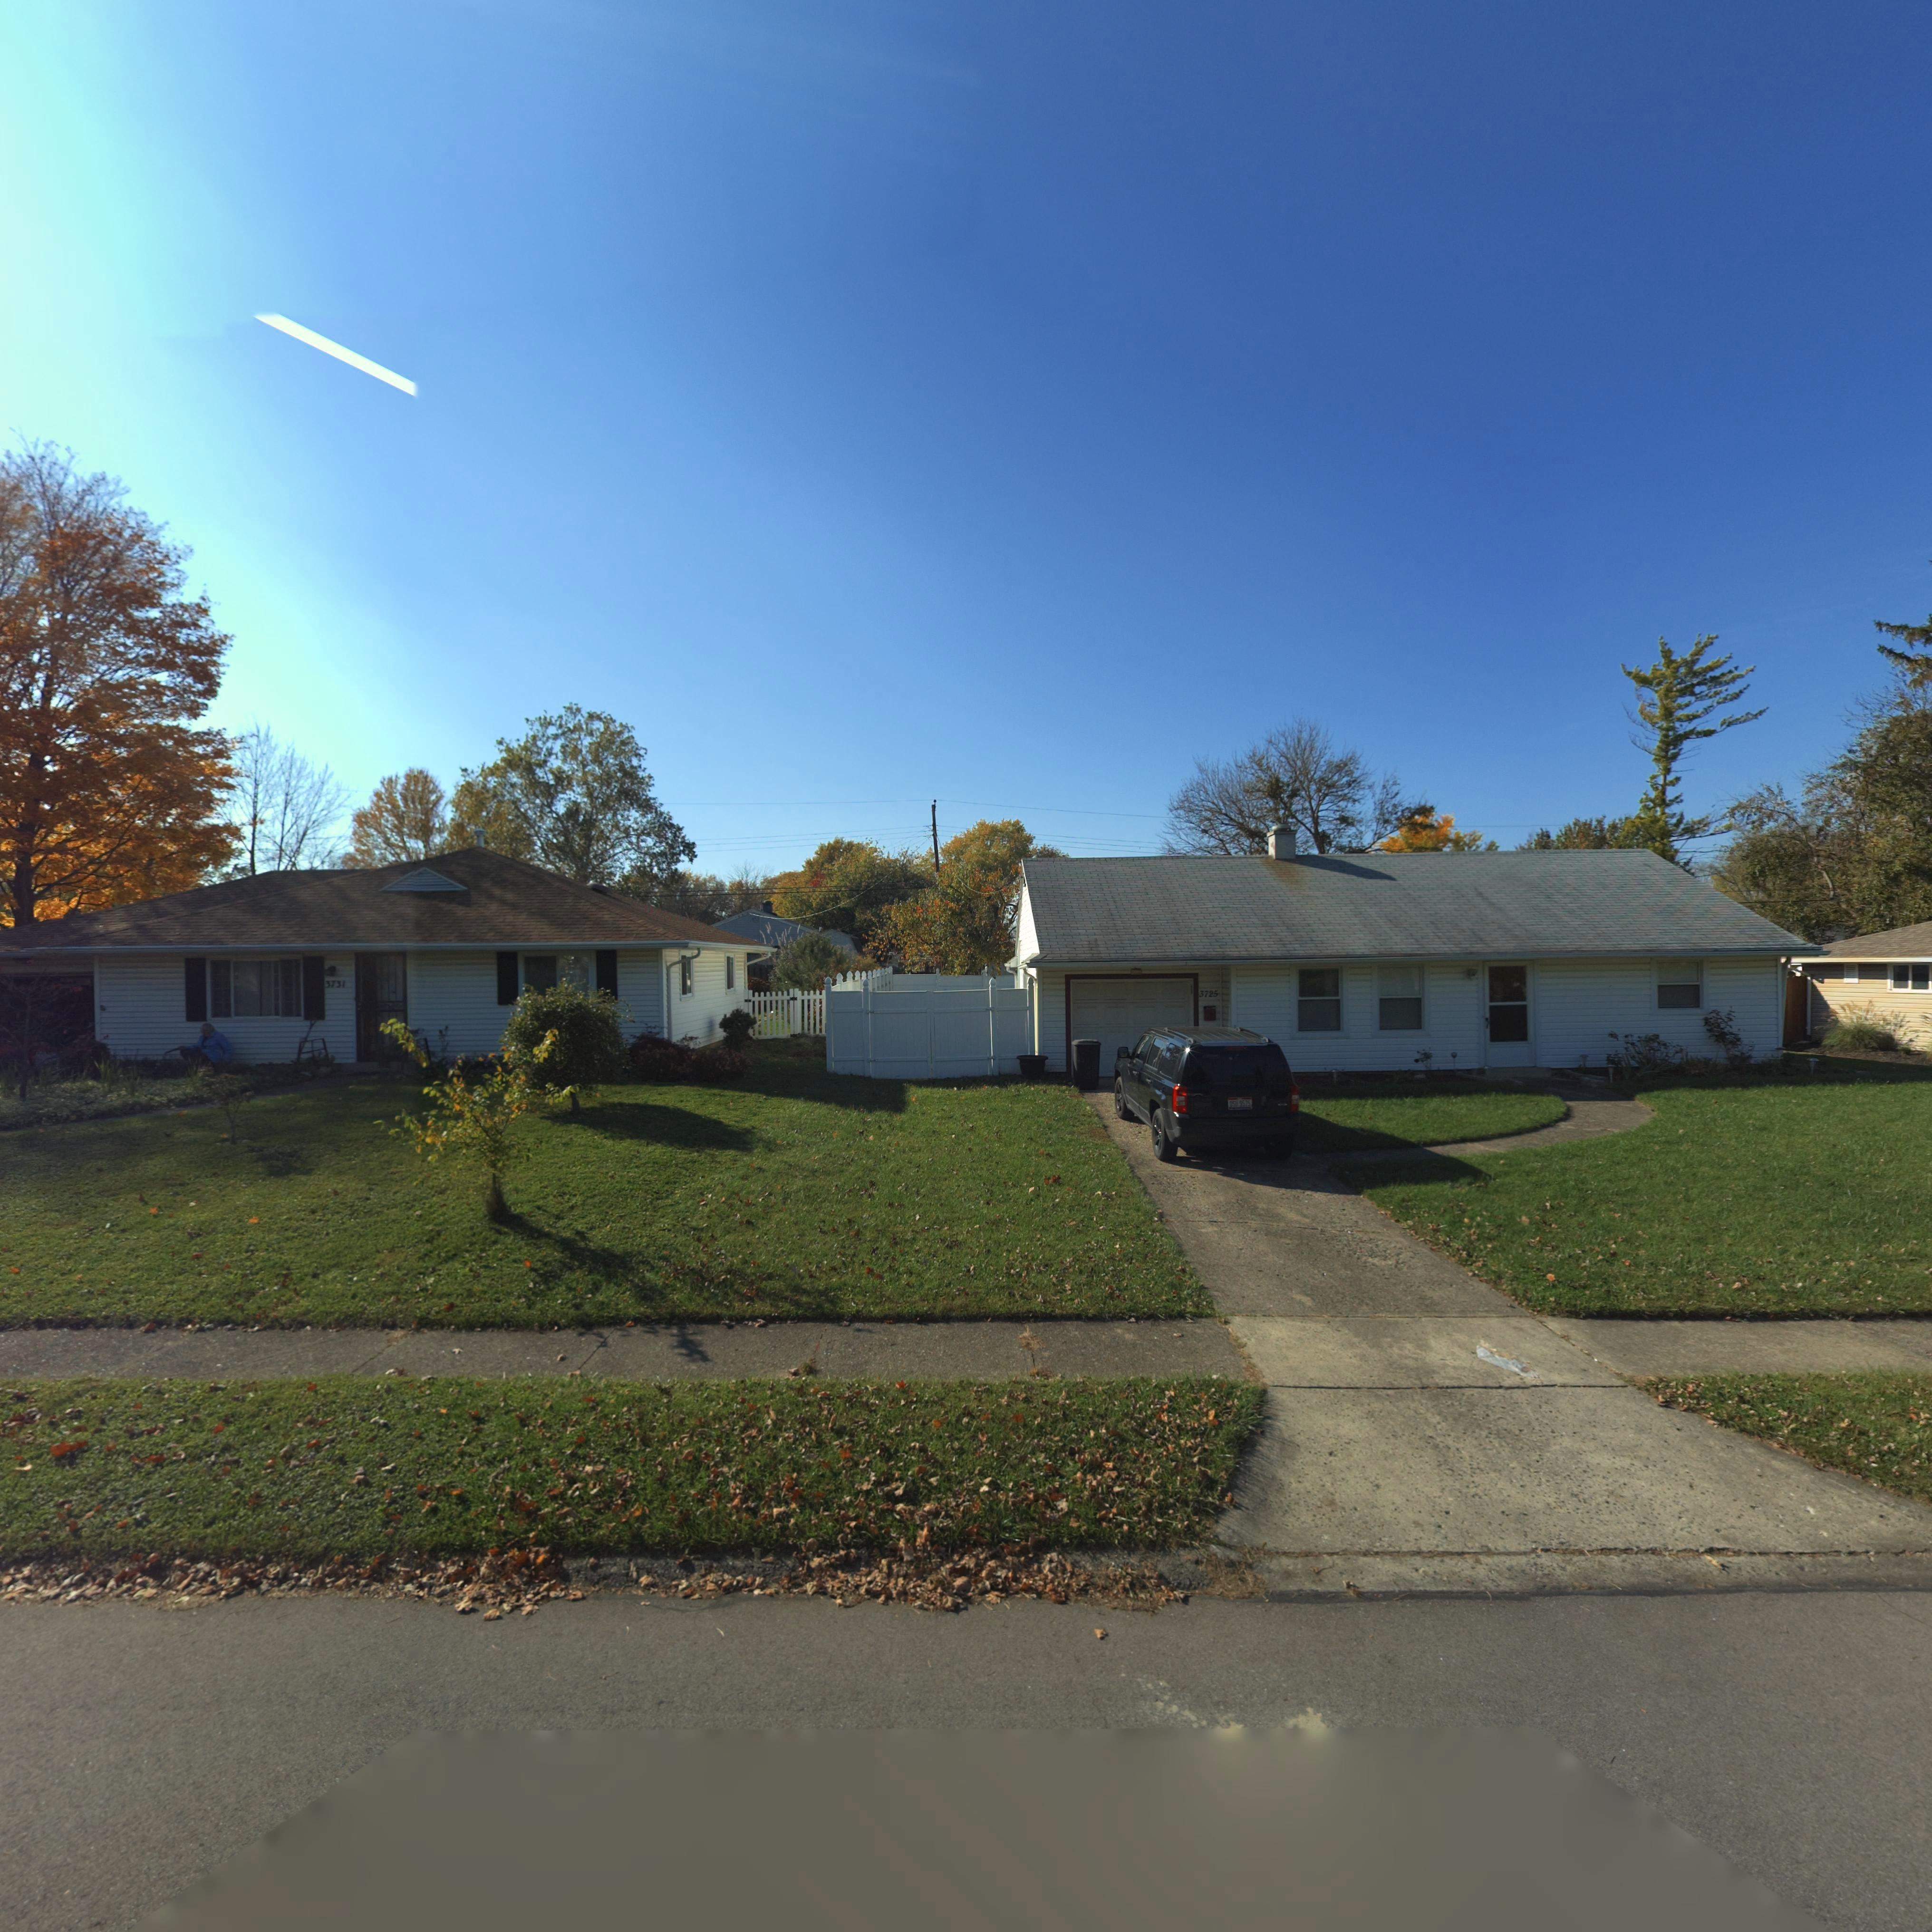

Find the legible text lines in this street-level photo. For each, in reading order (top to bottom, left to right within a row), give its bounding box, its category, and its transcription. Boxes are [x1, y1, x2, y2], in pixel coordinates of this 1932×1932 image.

[325, 980, 346, 988] StreetNumber: 3731
[1199, 990, 1218, 997] StreetNumber: 3725
[1229, 1100, 1251, 1107] None: OSU*9575